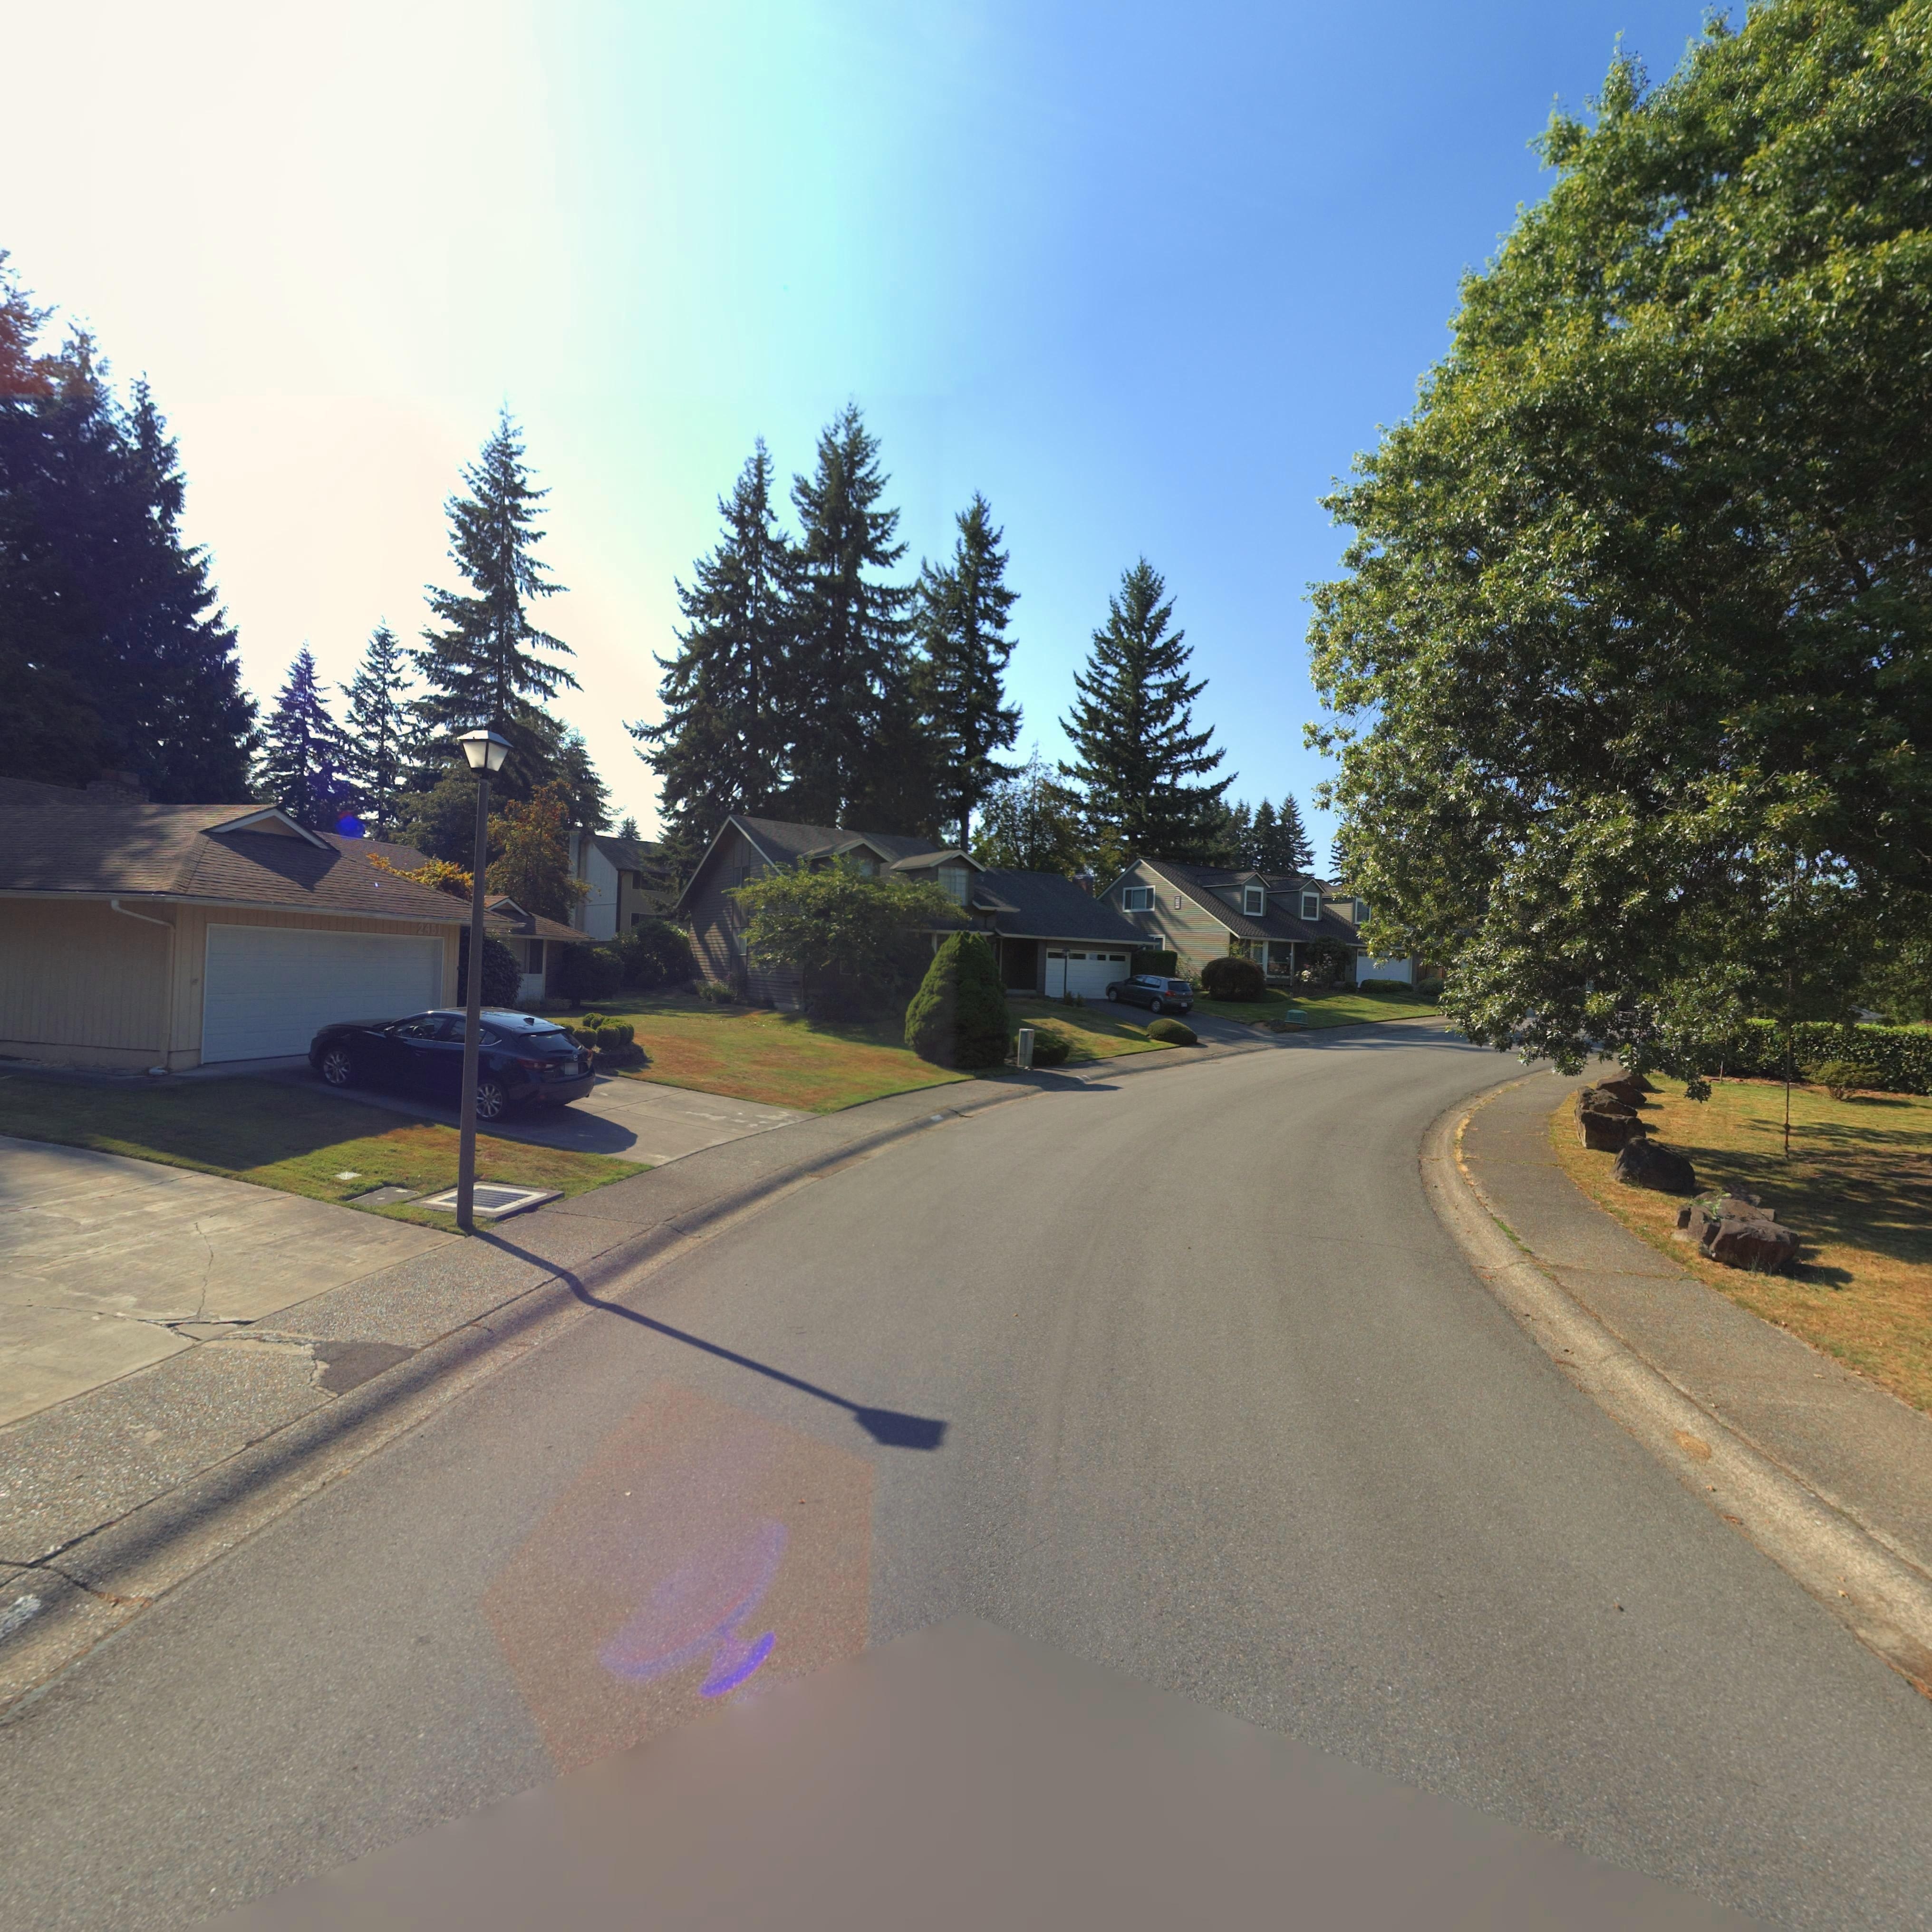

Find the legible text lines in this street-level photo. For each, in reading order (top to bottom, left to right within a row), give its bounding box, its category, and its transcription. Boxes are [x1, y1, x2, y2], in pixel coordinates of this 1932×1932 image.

[416, 922, 441, 936] StreetNumber: 2451